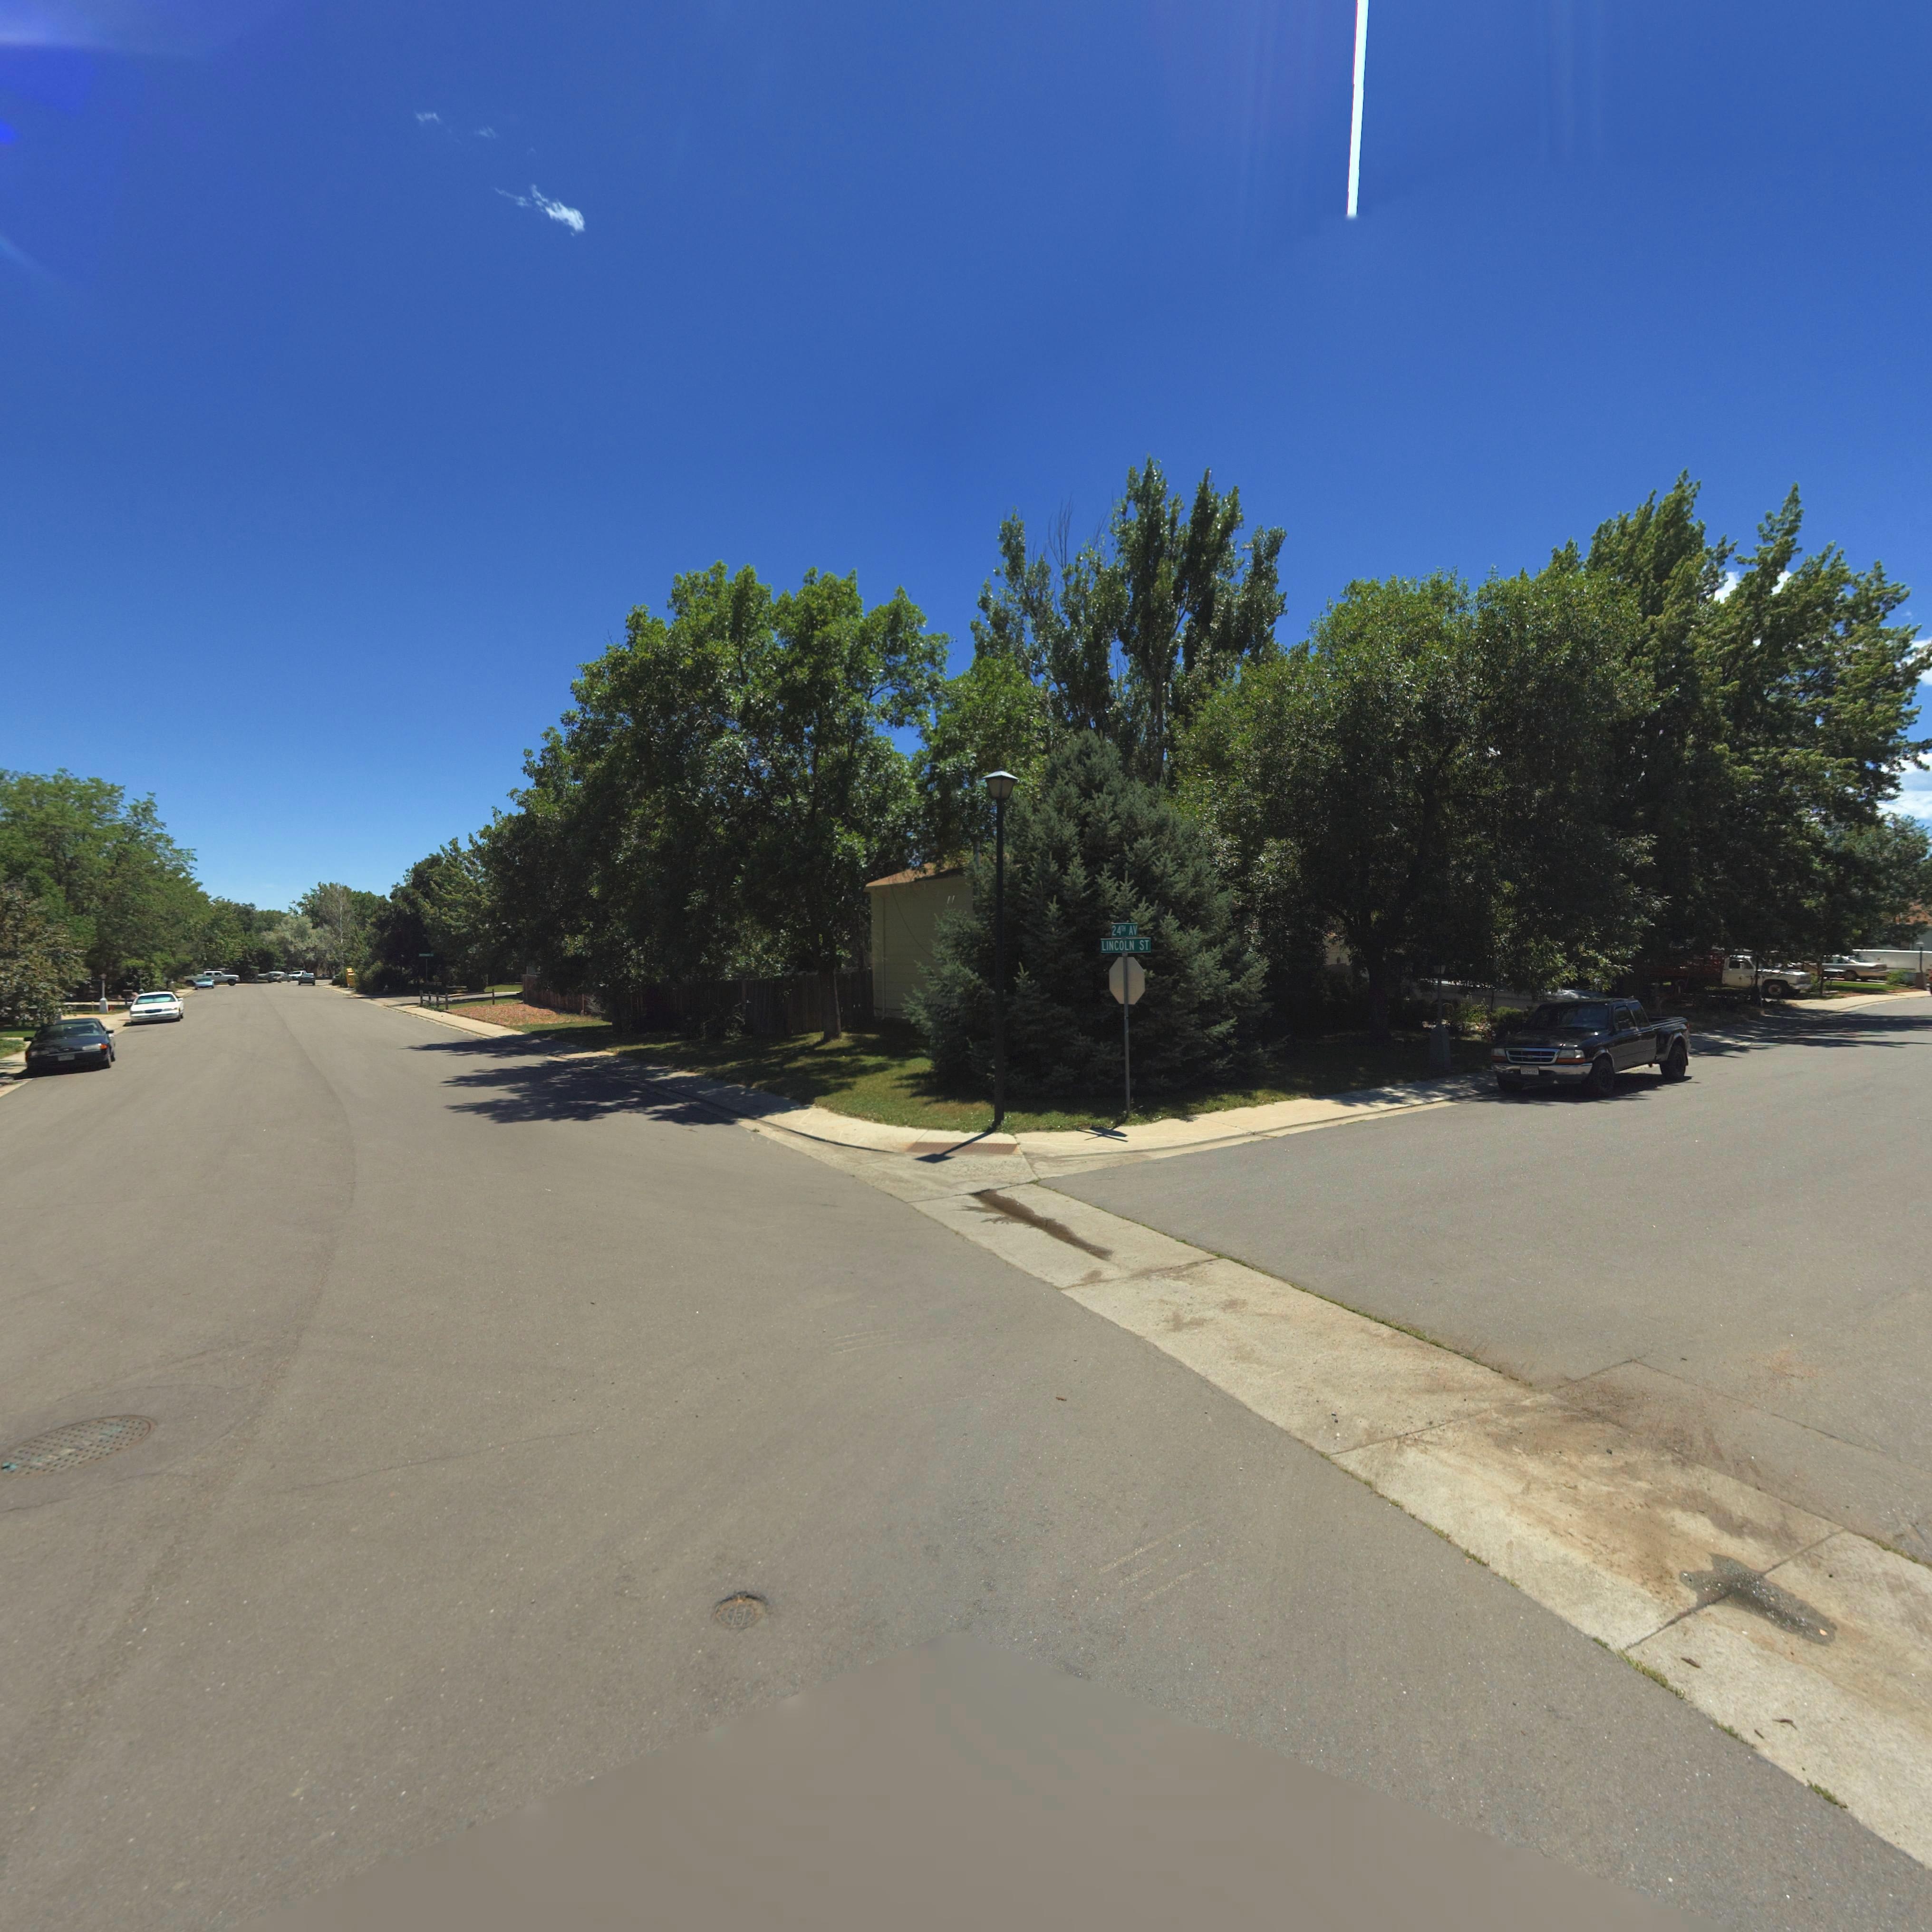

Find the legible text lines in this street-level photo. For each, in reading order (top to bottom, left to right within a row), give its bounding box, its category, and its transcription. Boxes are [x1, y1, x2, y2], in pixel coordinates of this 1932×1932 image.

[1111, 924, 1138, 936] StreetName: 24TH AV
[1101, 940, 1150, 951] StreetName: LINCOLN ST